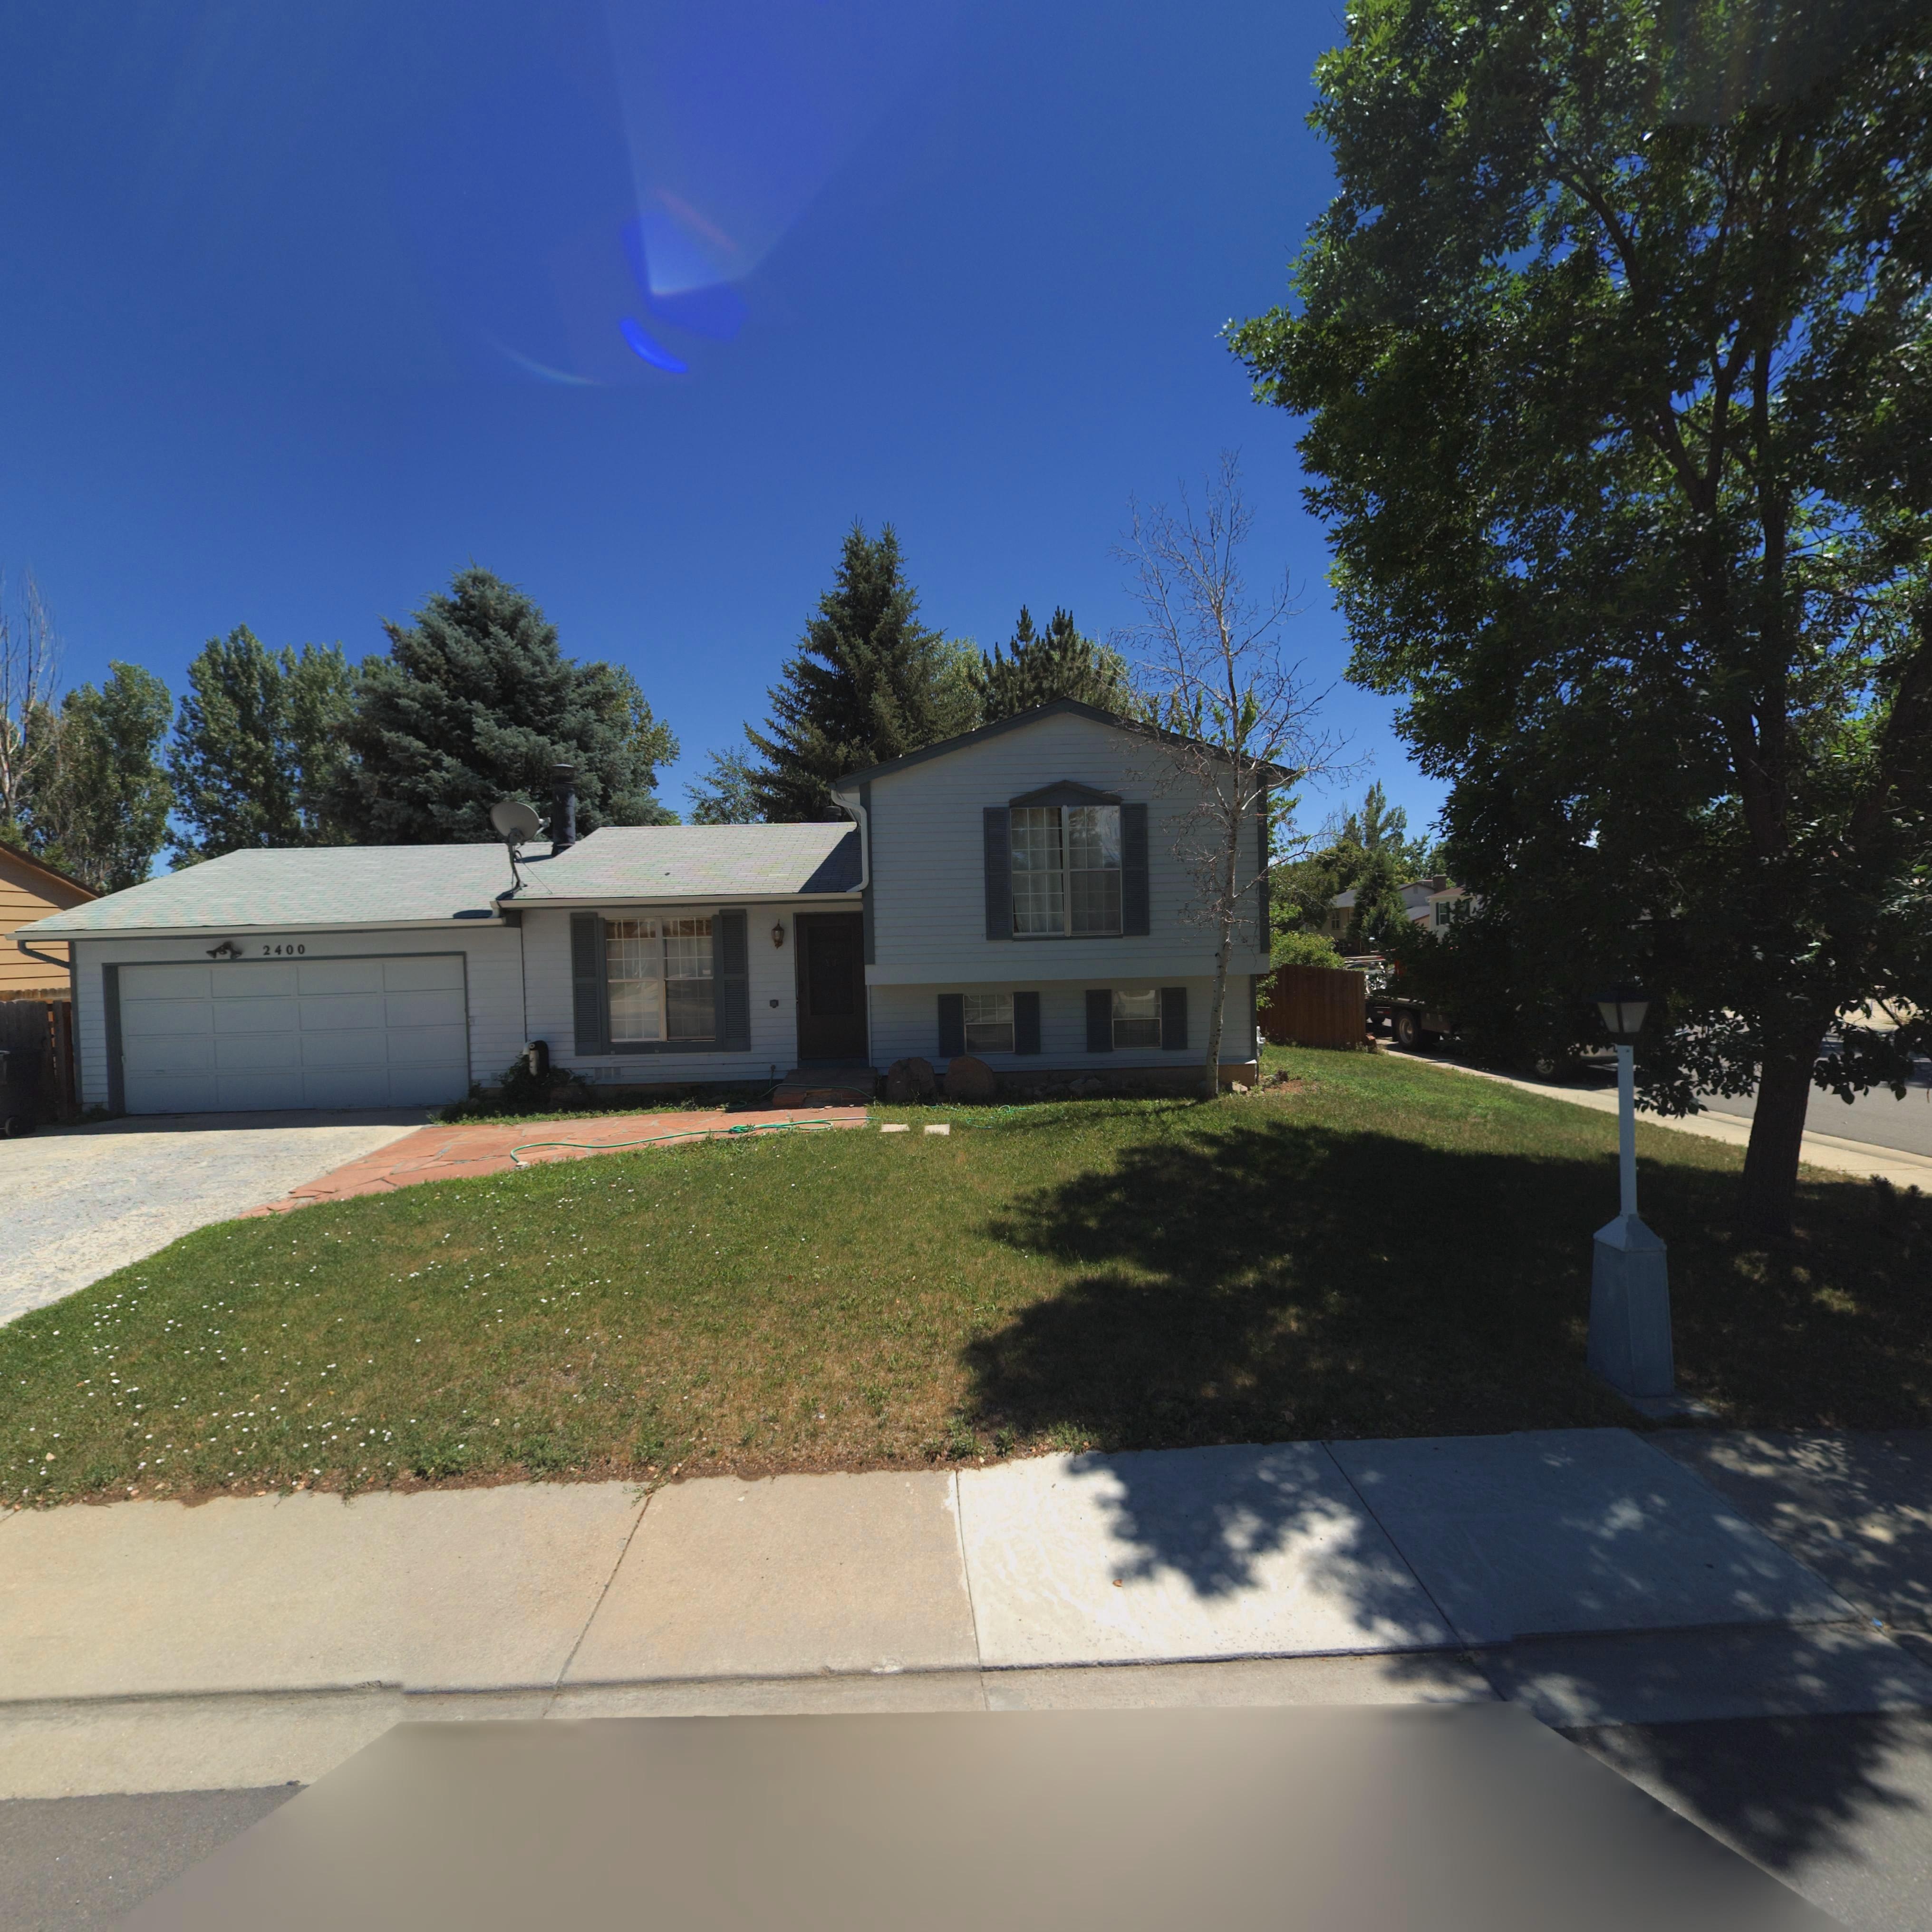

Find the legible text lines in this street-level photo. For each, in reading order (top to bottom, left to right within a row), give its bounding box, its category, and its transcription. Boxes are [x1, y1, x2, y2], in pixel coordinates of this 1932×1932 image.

[261, 944, 305, 956] StreetNumber: 2400